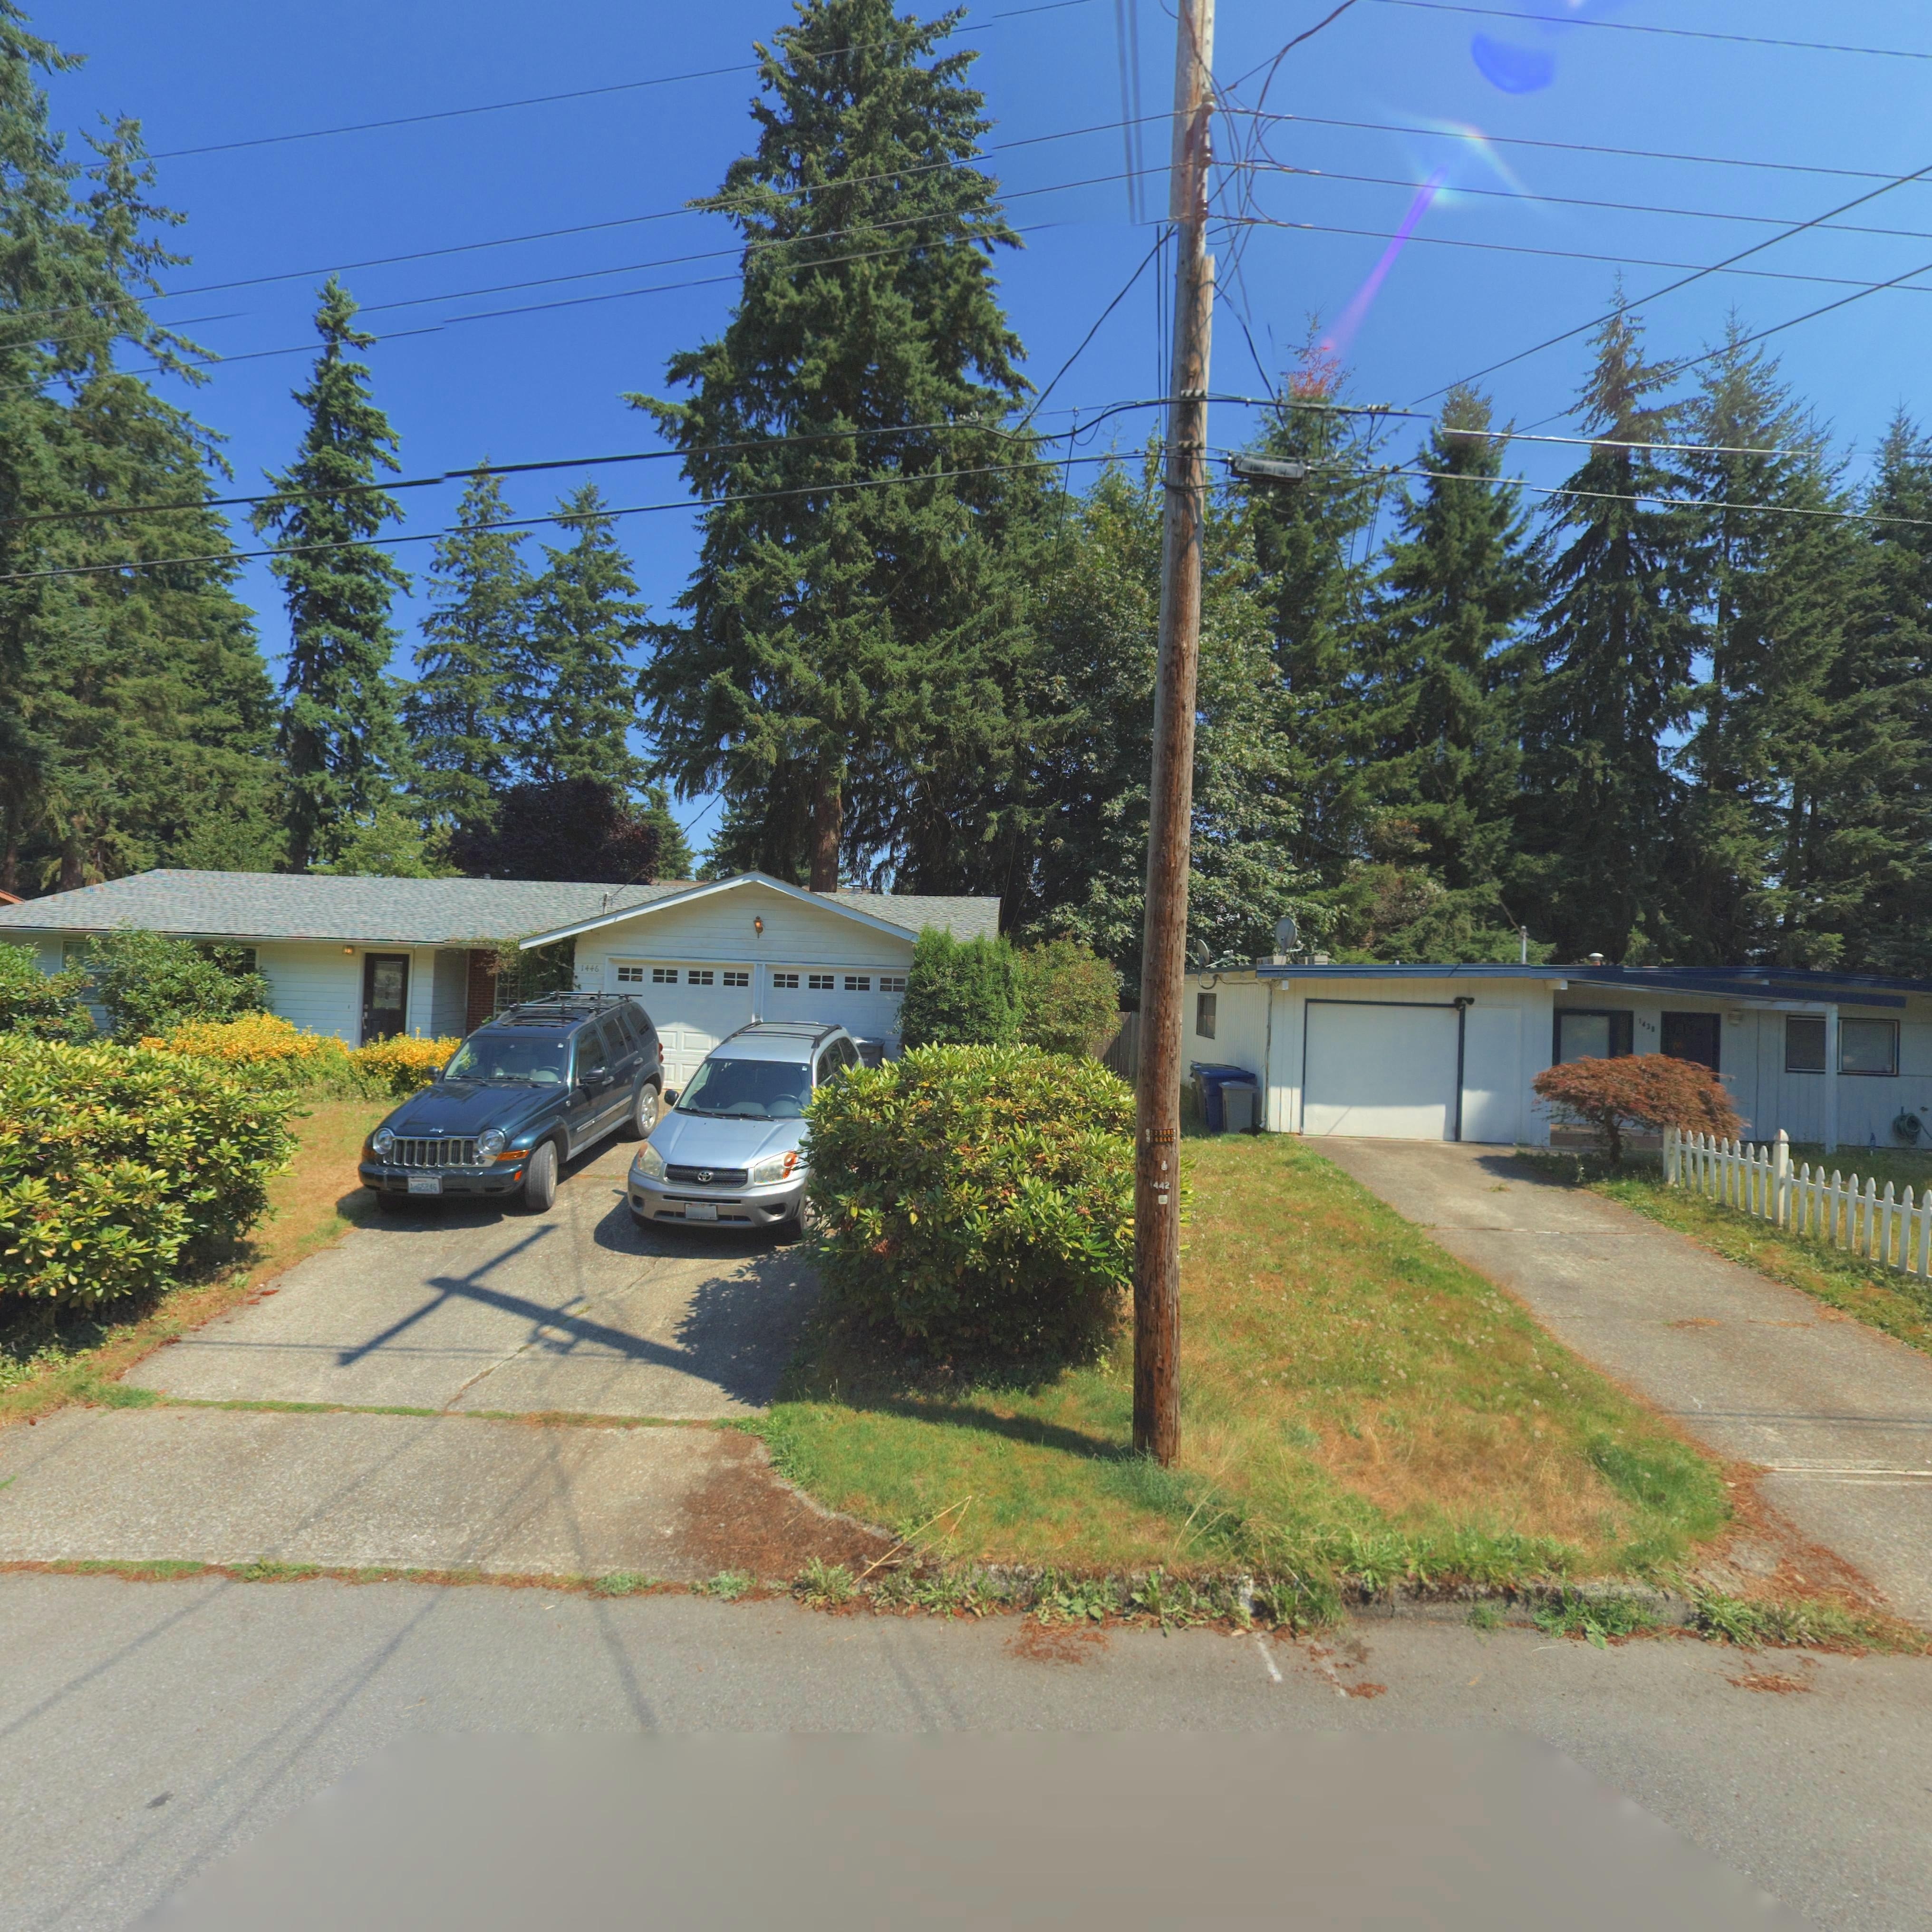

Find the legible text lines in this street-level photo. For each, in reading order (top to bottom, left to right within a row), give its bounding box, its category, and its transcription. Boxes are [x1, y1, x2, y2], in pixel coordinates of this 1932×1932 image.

[580, 965, 599, 972] StreetNumber: 1446
[1637, 1015, 1657, 1034] StreetNumber: 1438